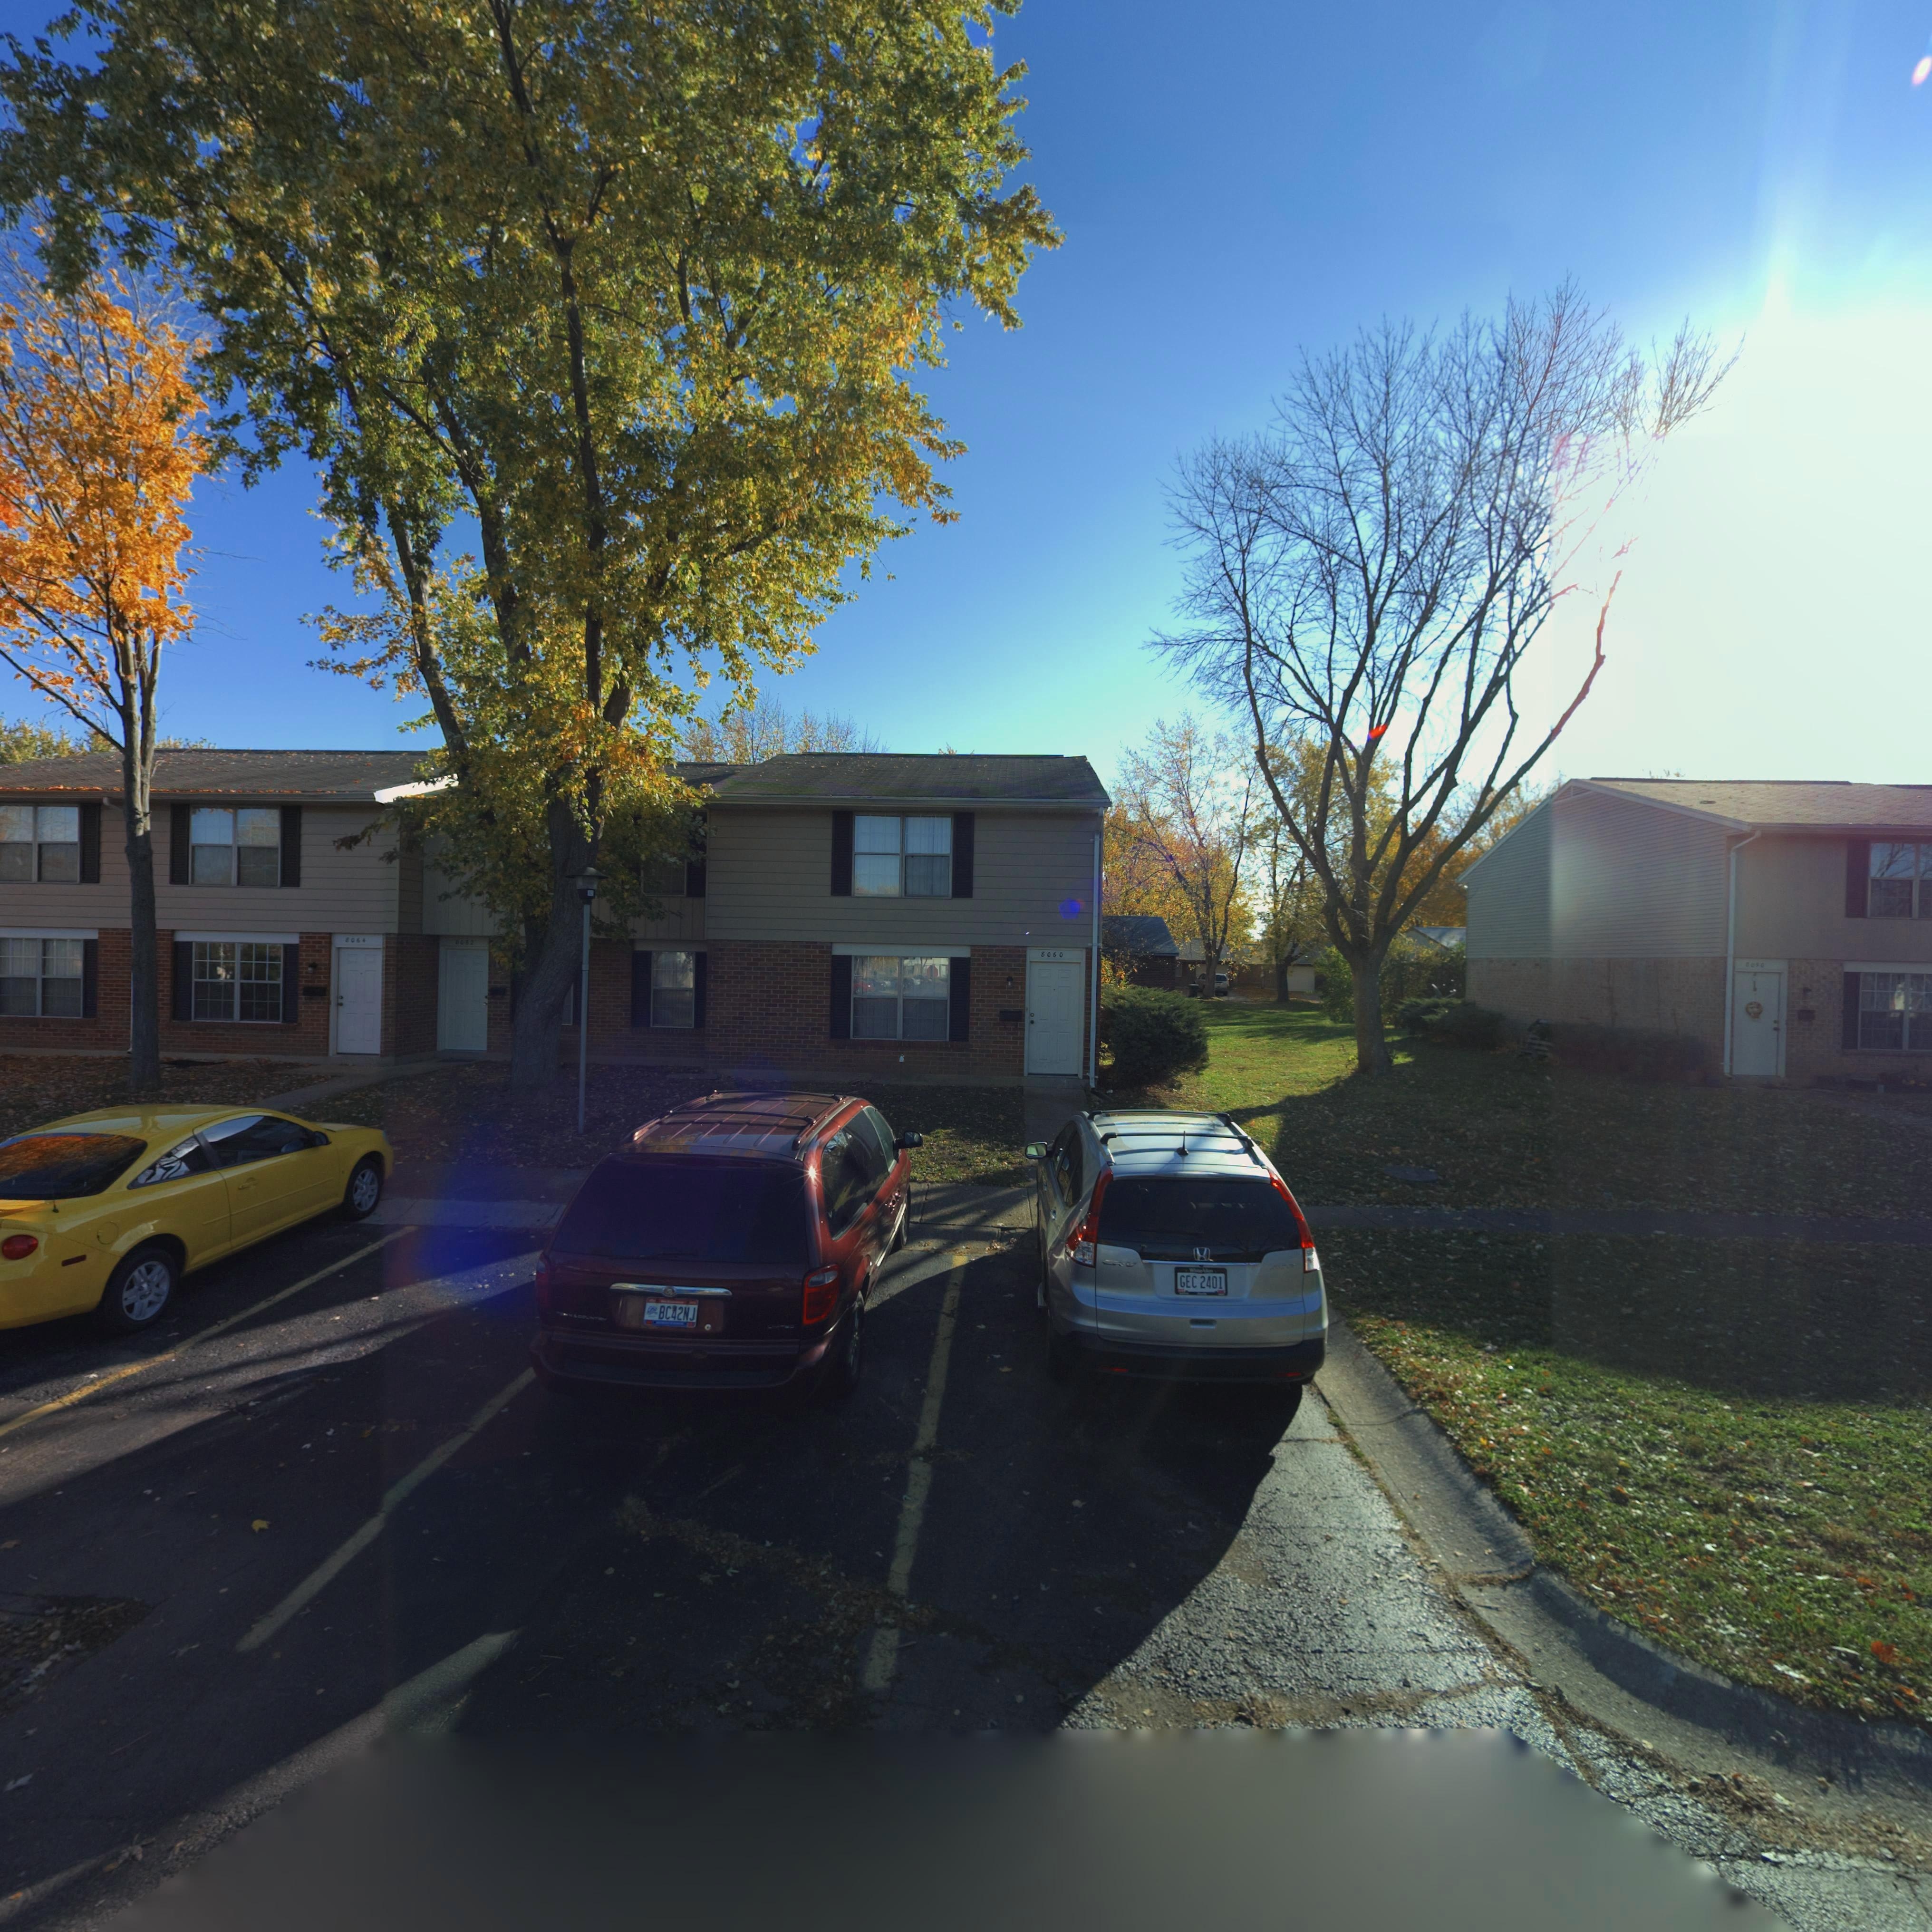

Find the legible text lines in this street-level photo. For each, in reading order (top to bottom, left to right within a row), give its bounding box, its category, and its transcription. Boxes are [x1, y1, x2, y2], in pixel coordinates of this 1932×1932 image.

[345, 937, 366, 943] StreetNumber: 8064
[454, 939, 475, 946] StreetNumber: 8062
[1040, 951, 1063, 958] StreetNumber: 8060
[1744, 961, 1765, 968] StreetNumber: 8050